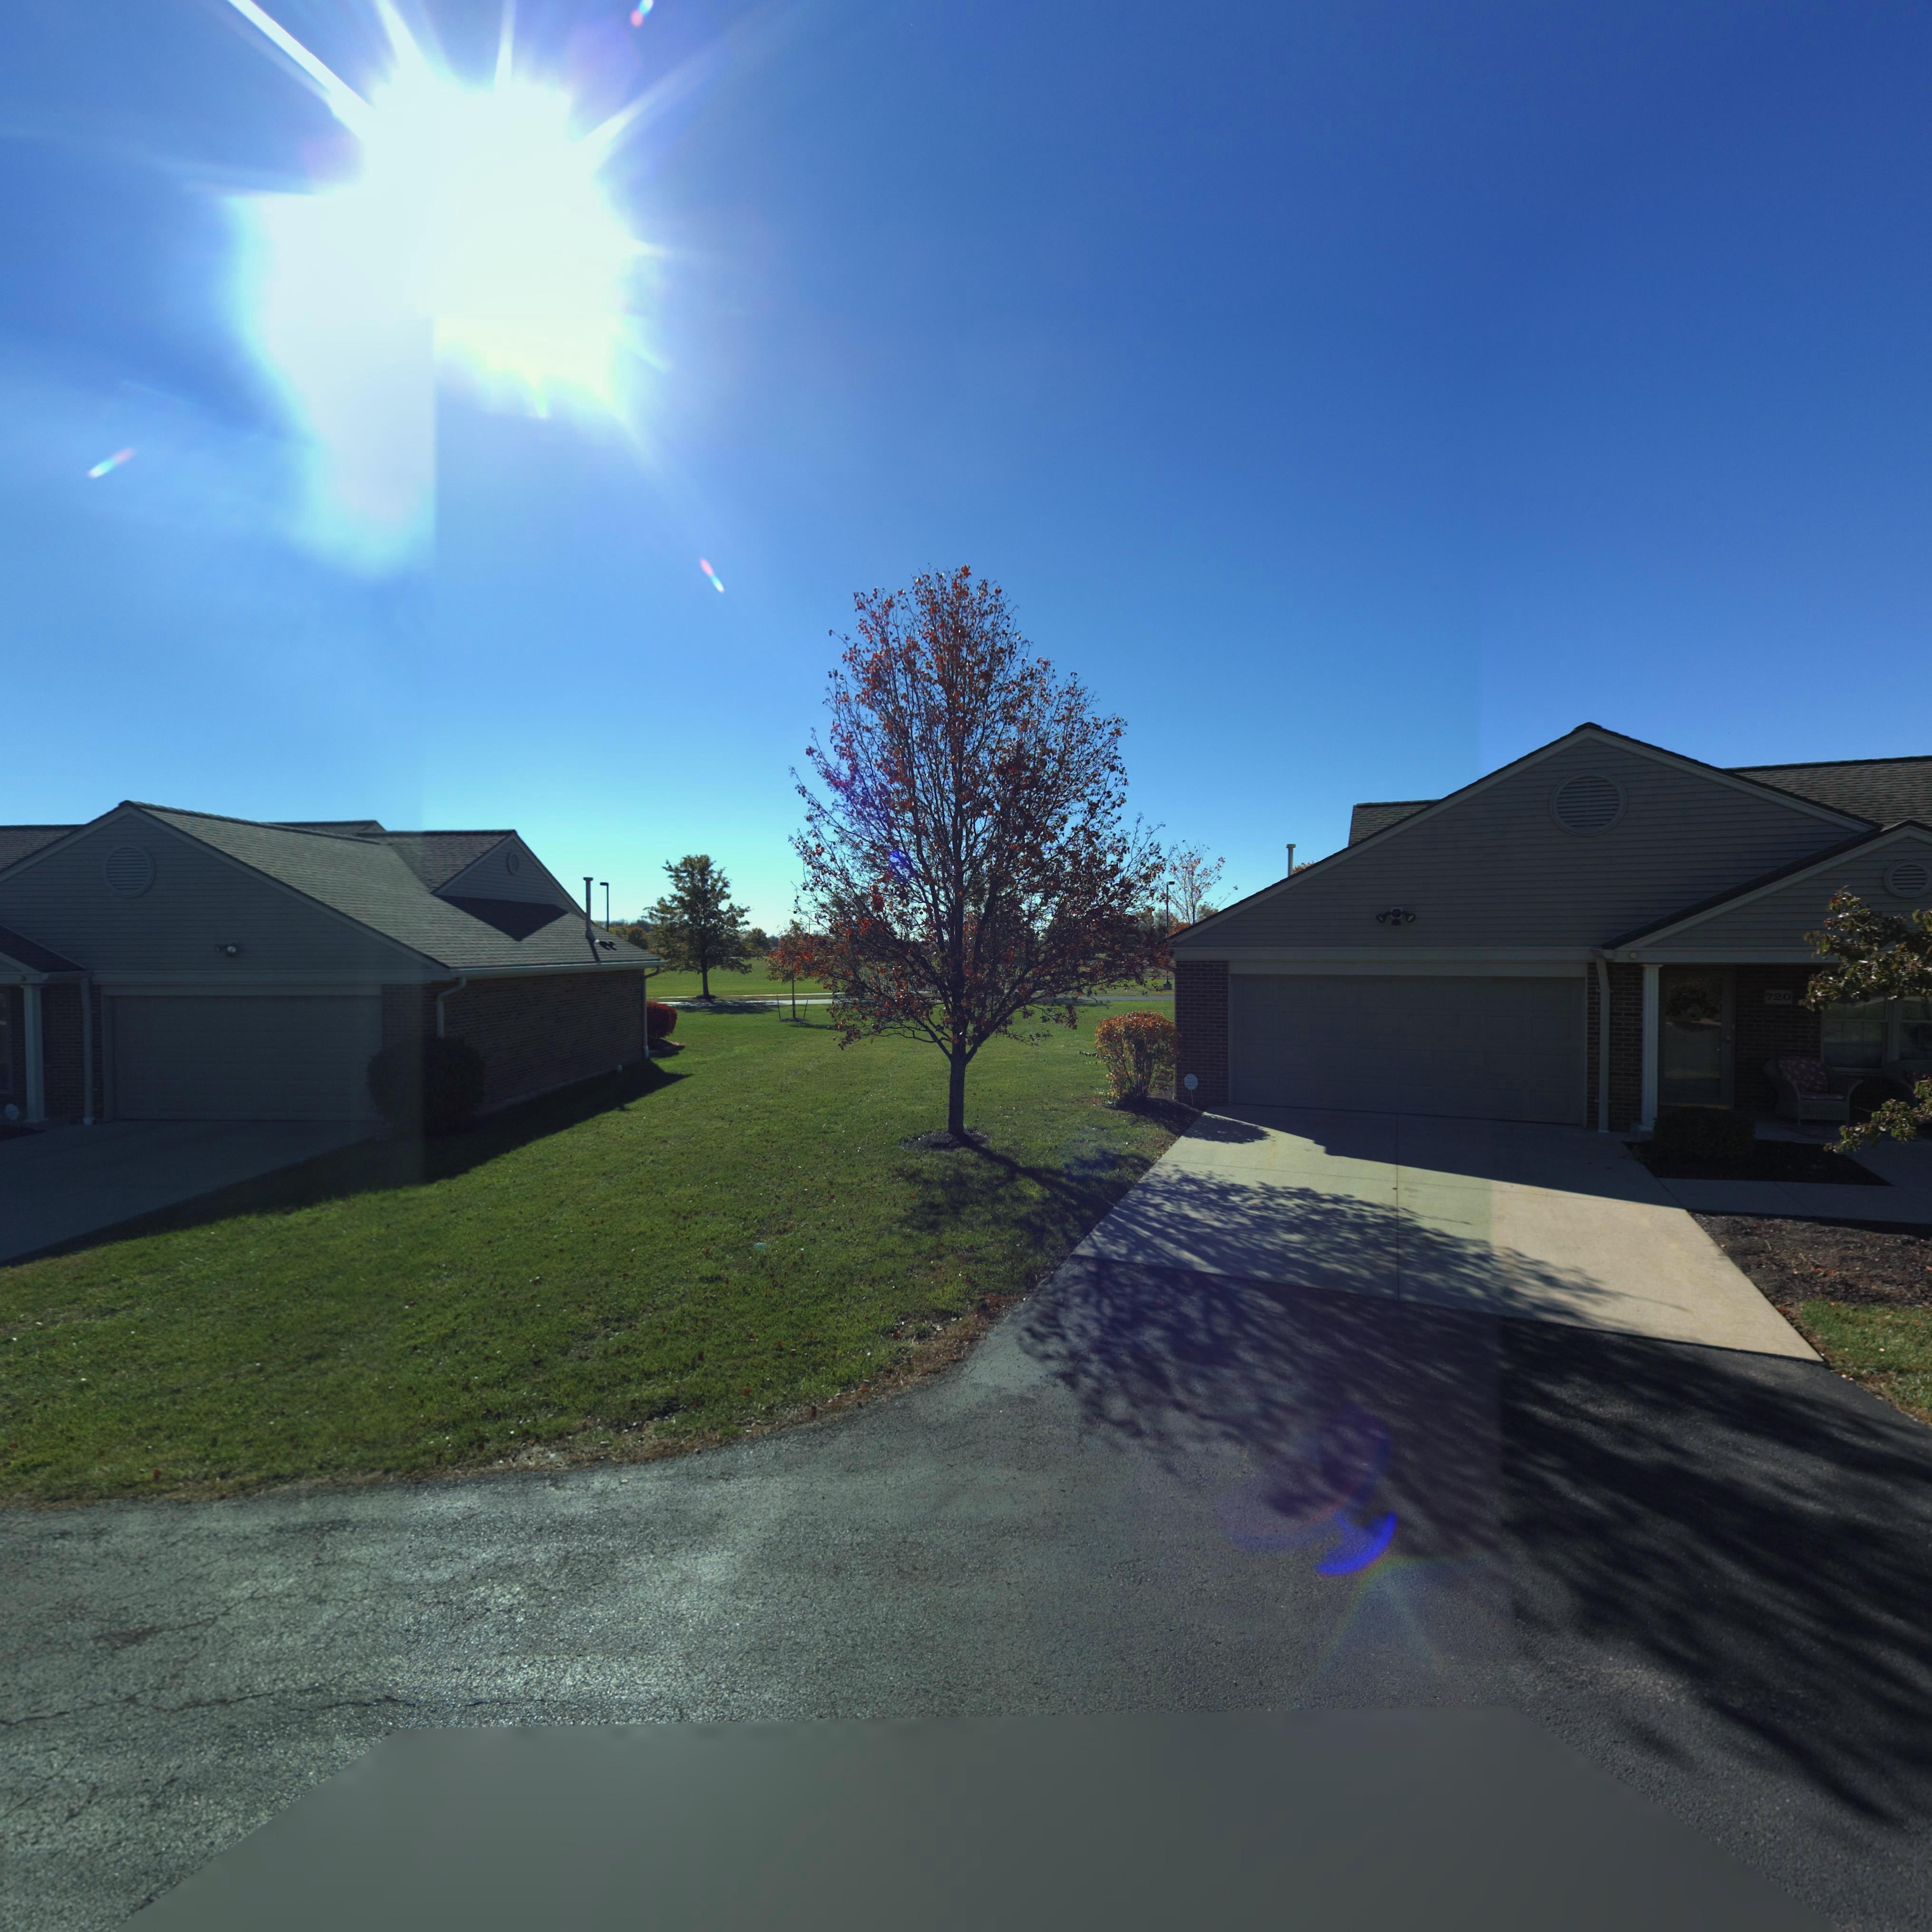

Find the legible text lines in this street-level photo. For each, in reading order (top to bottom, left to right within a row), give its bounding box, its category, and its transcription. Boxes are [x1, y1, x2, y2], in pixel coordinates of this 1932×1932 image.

[1765, 993, 1791, 1001] StreetNumber: 720